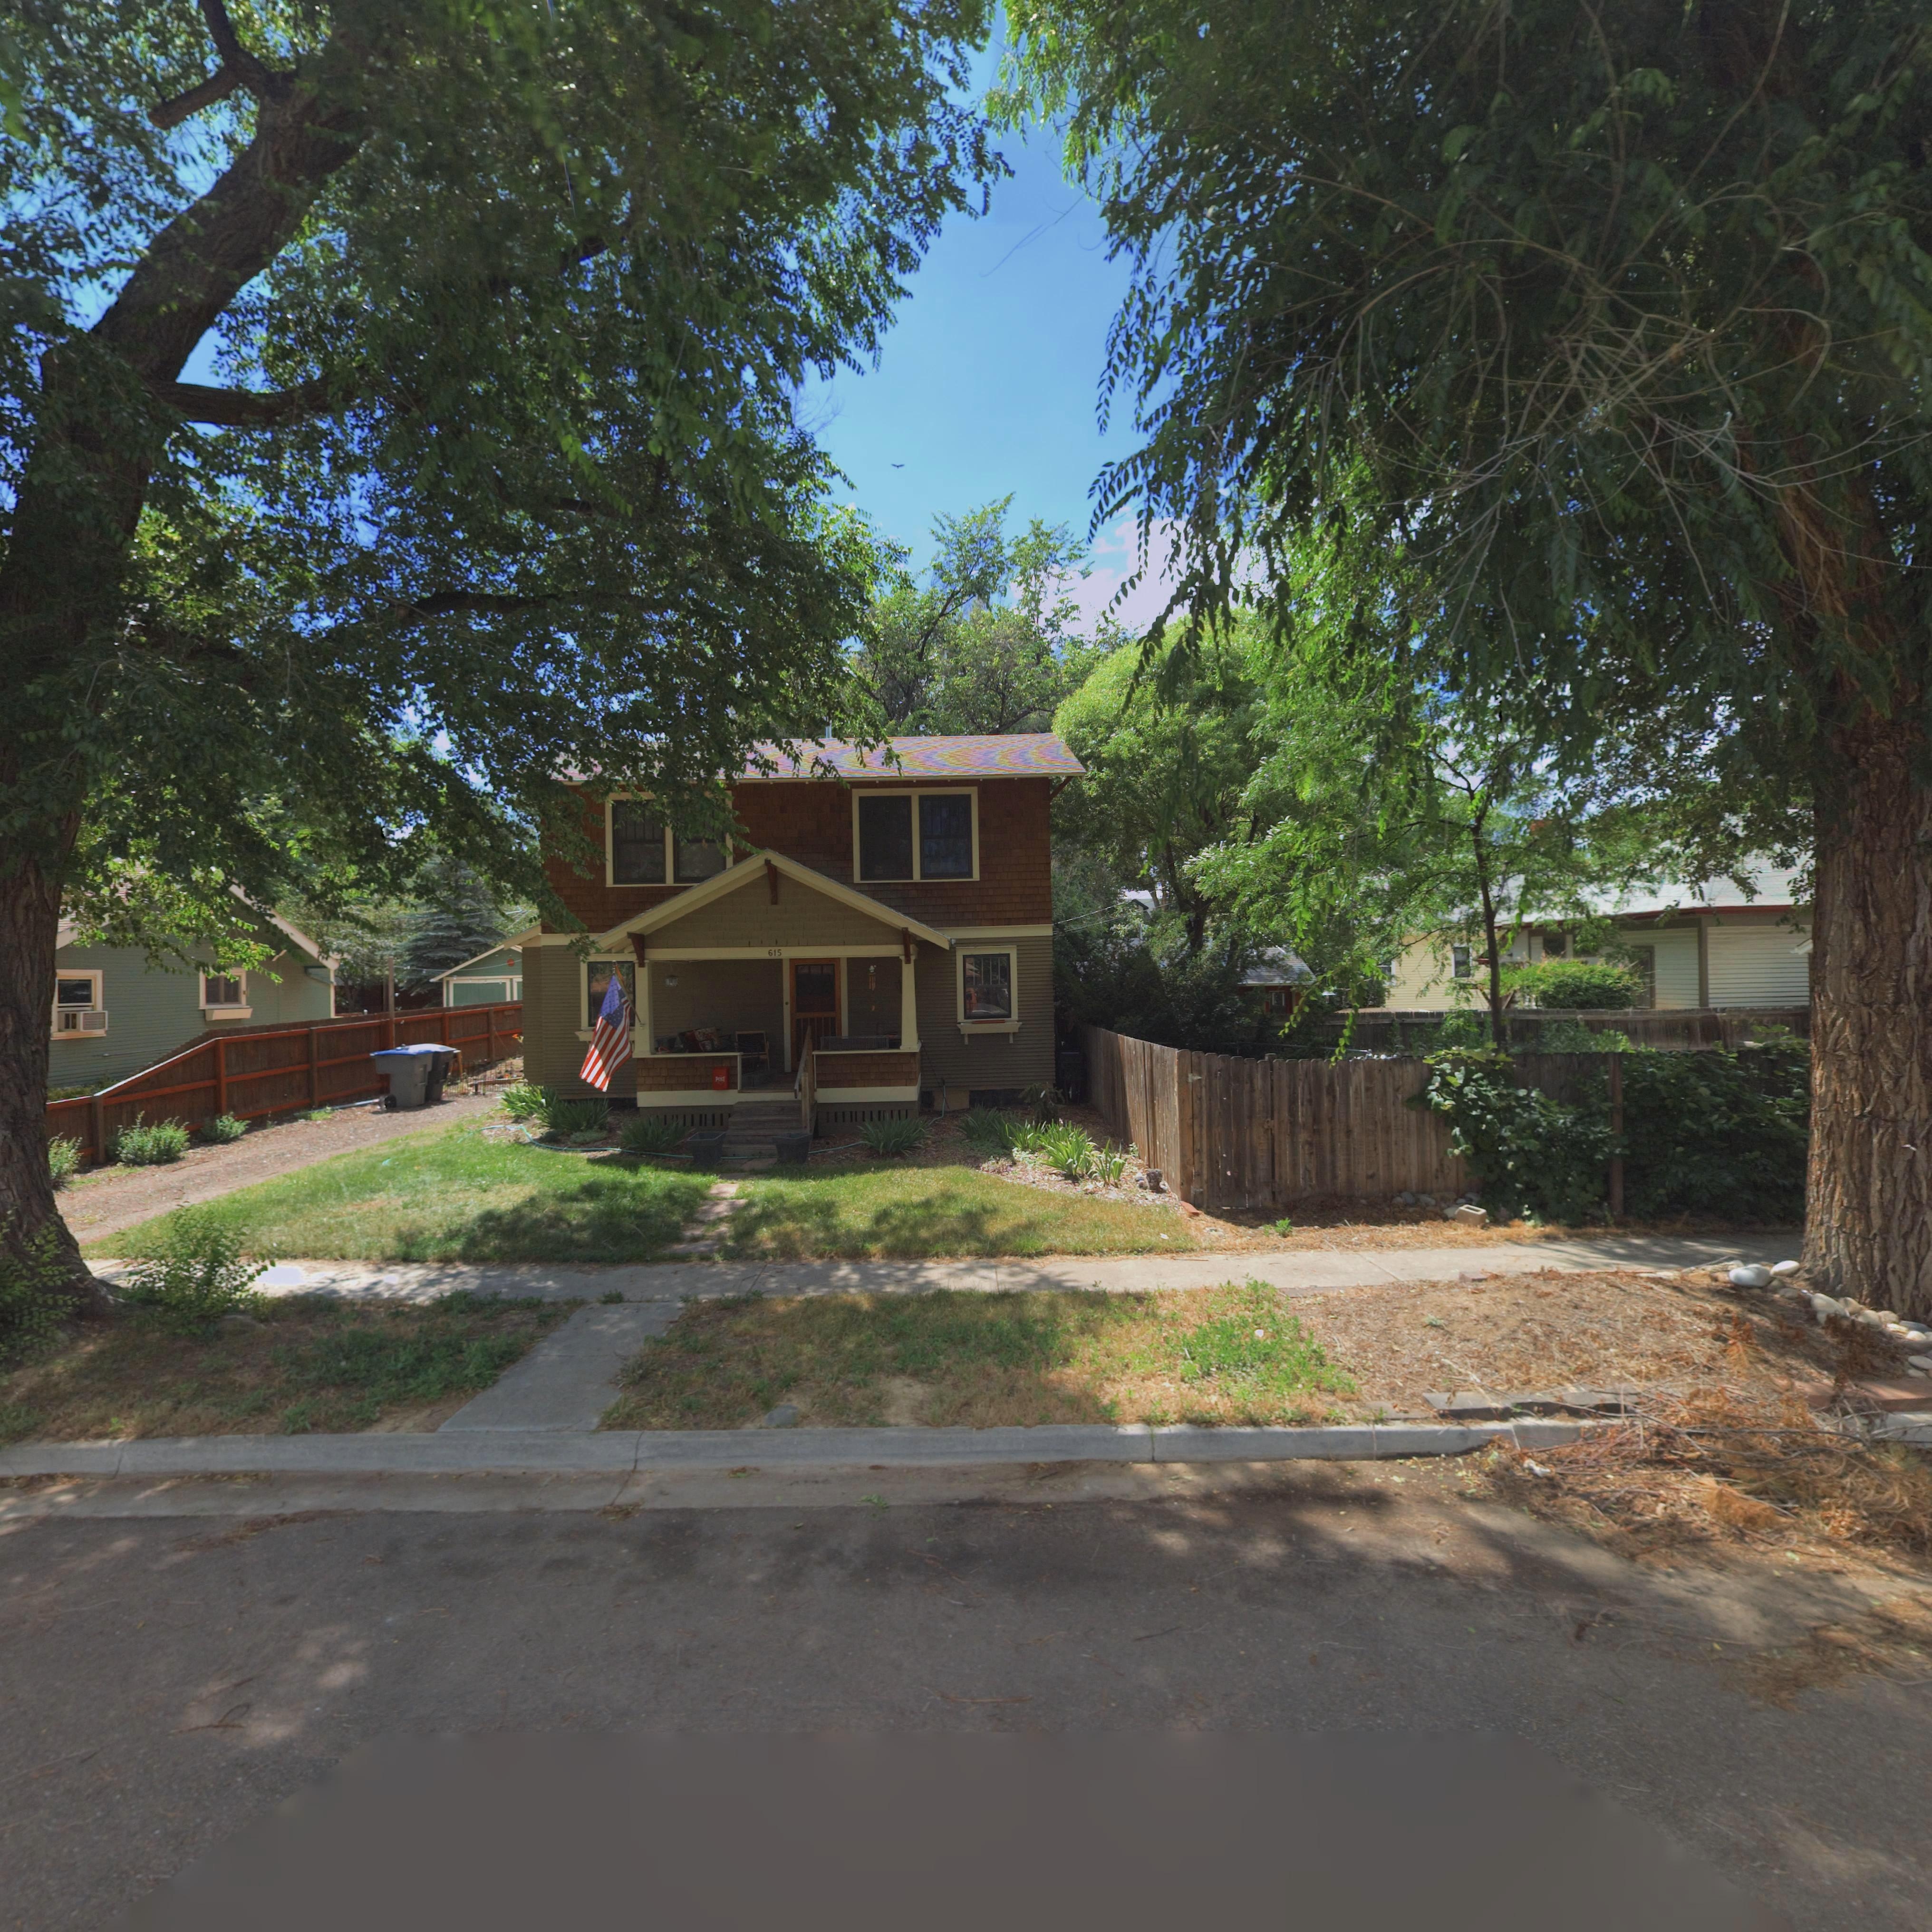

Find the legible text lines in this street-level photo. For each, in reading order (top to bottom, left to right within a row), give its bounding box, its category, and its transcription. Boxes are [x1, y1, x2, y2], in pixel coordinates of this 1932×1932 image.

[767, 948, 782, 956] StreetNumber: 615